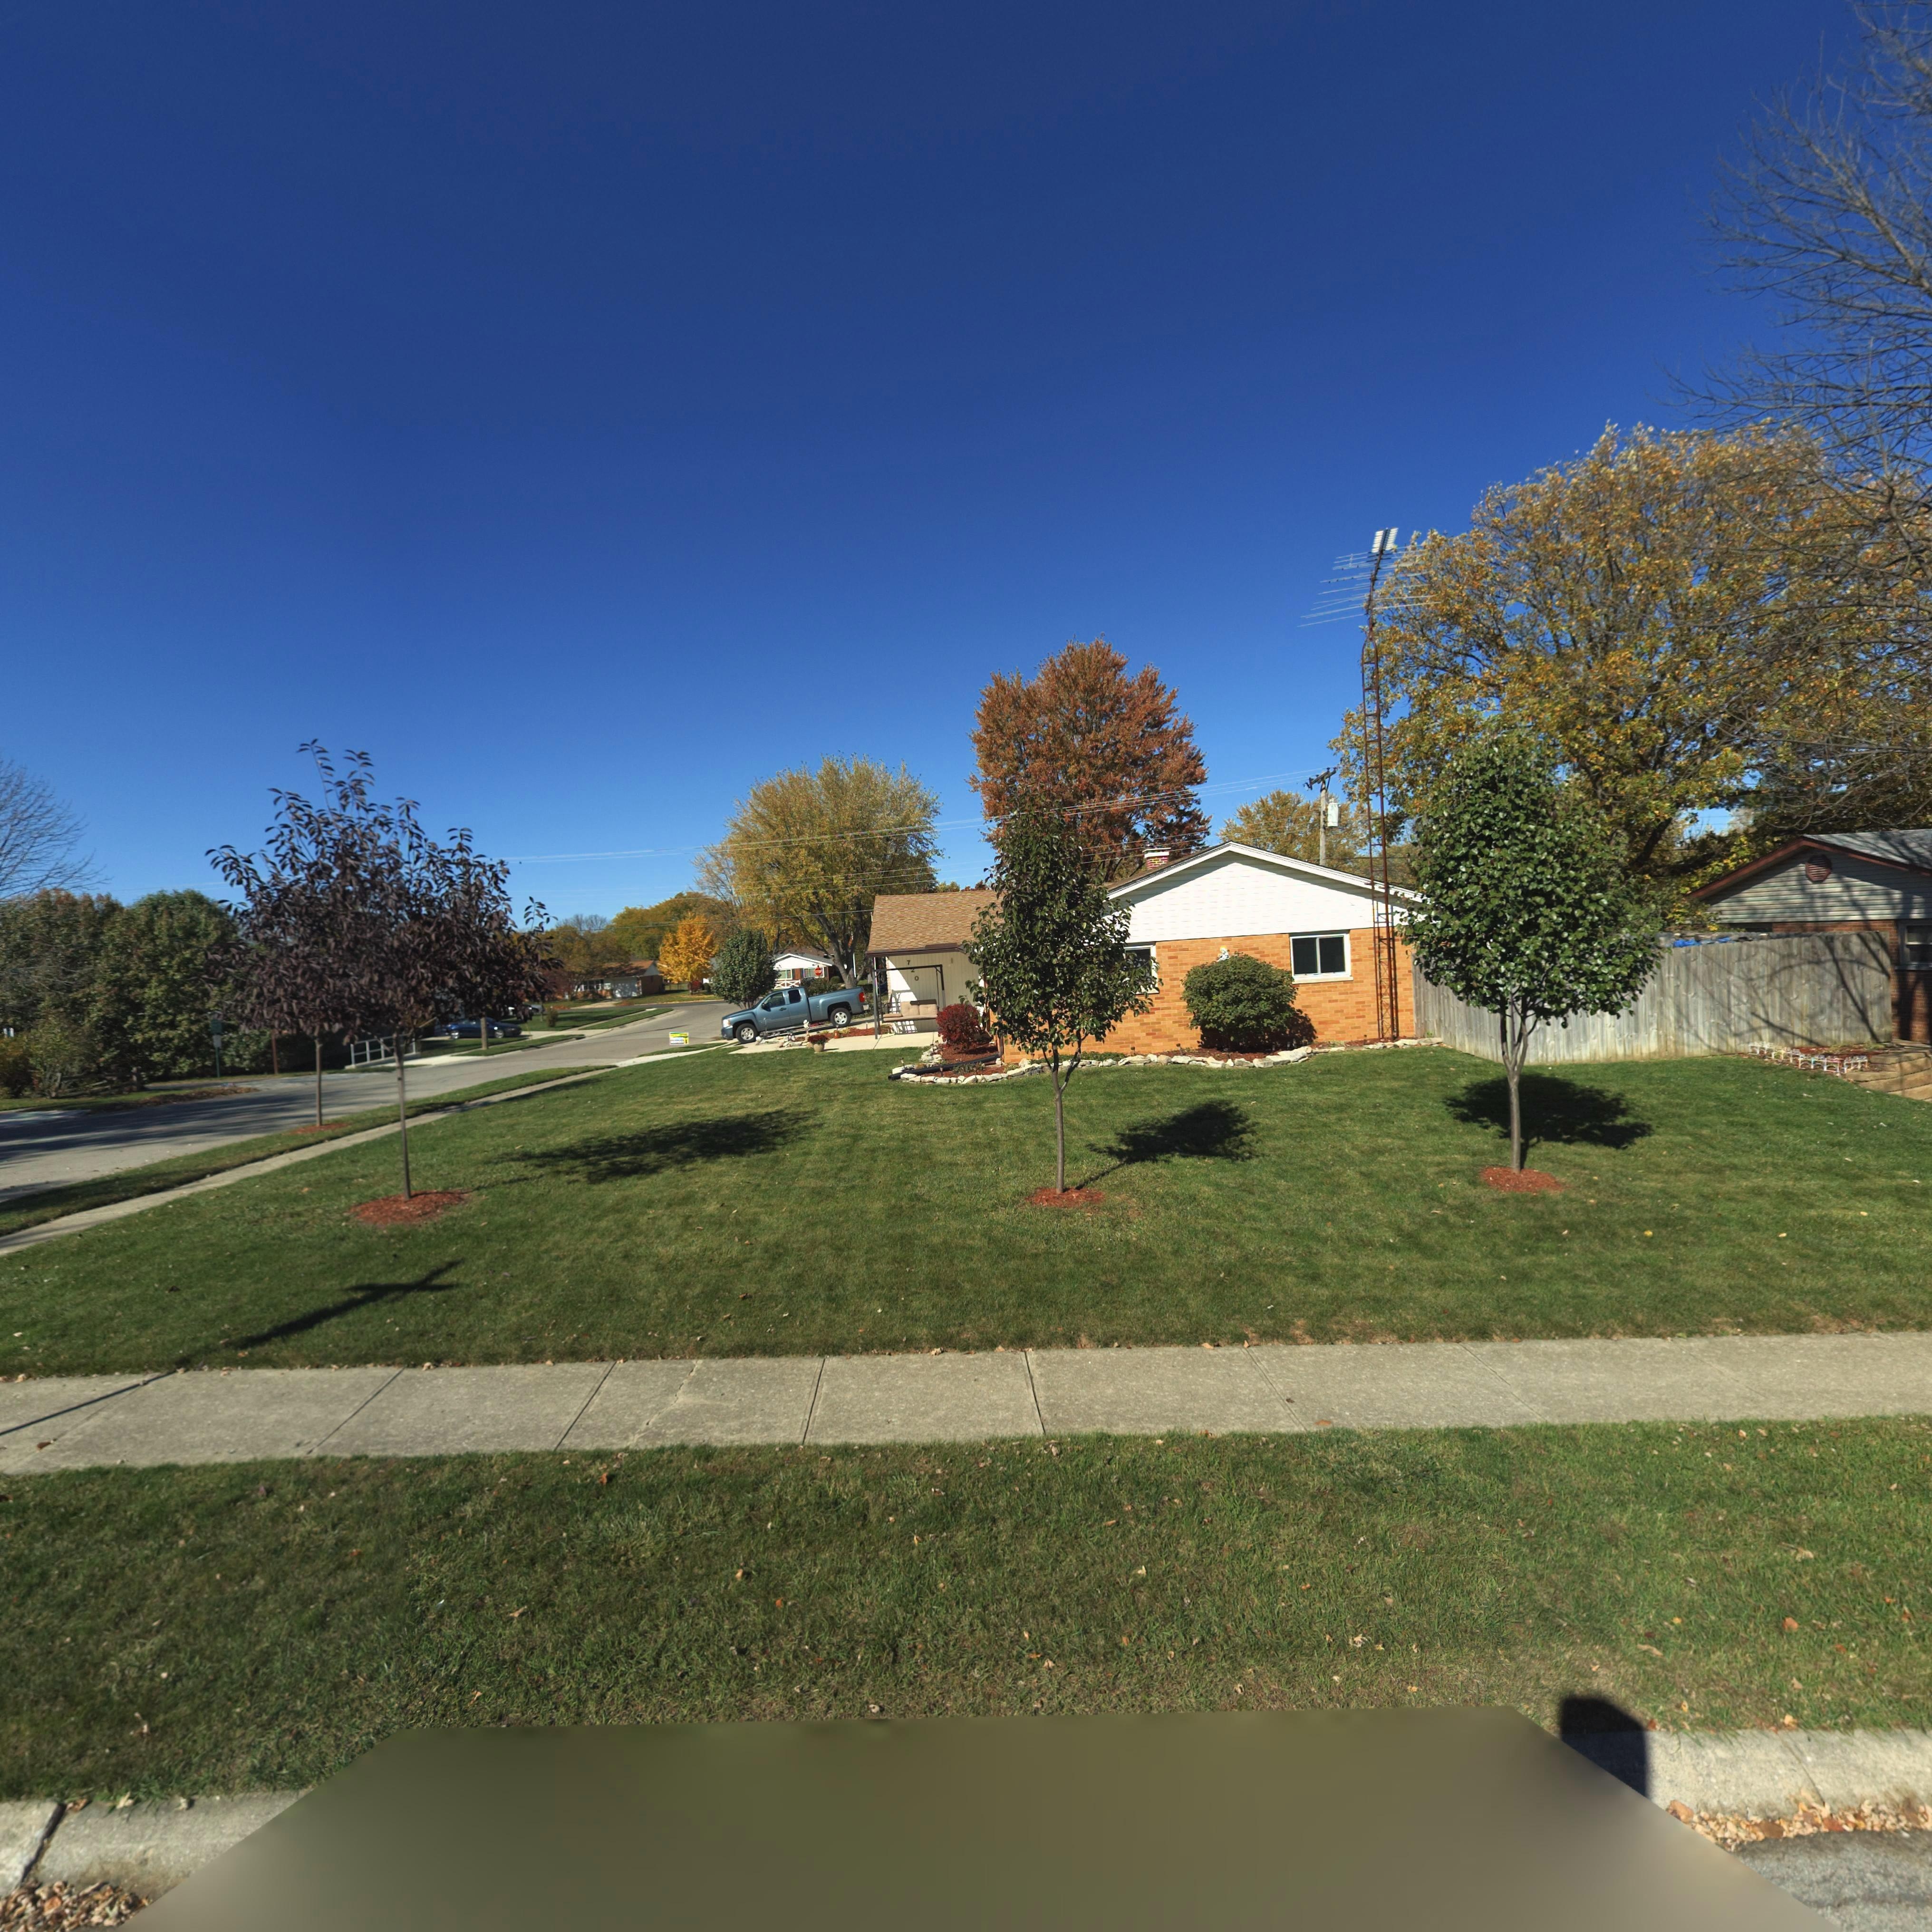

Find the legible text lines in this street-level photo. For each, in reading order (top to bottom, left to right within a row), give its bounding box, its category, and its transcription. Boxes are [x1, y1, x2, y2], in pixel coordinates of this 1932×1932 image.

[905, 959, 920, 982] StreetNumber: 7*0